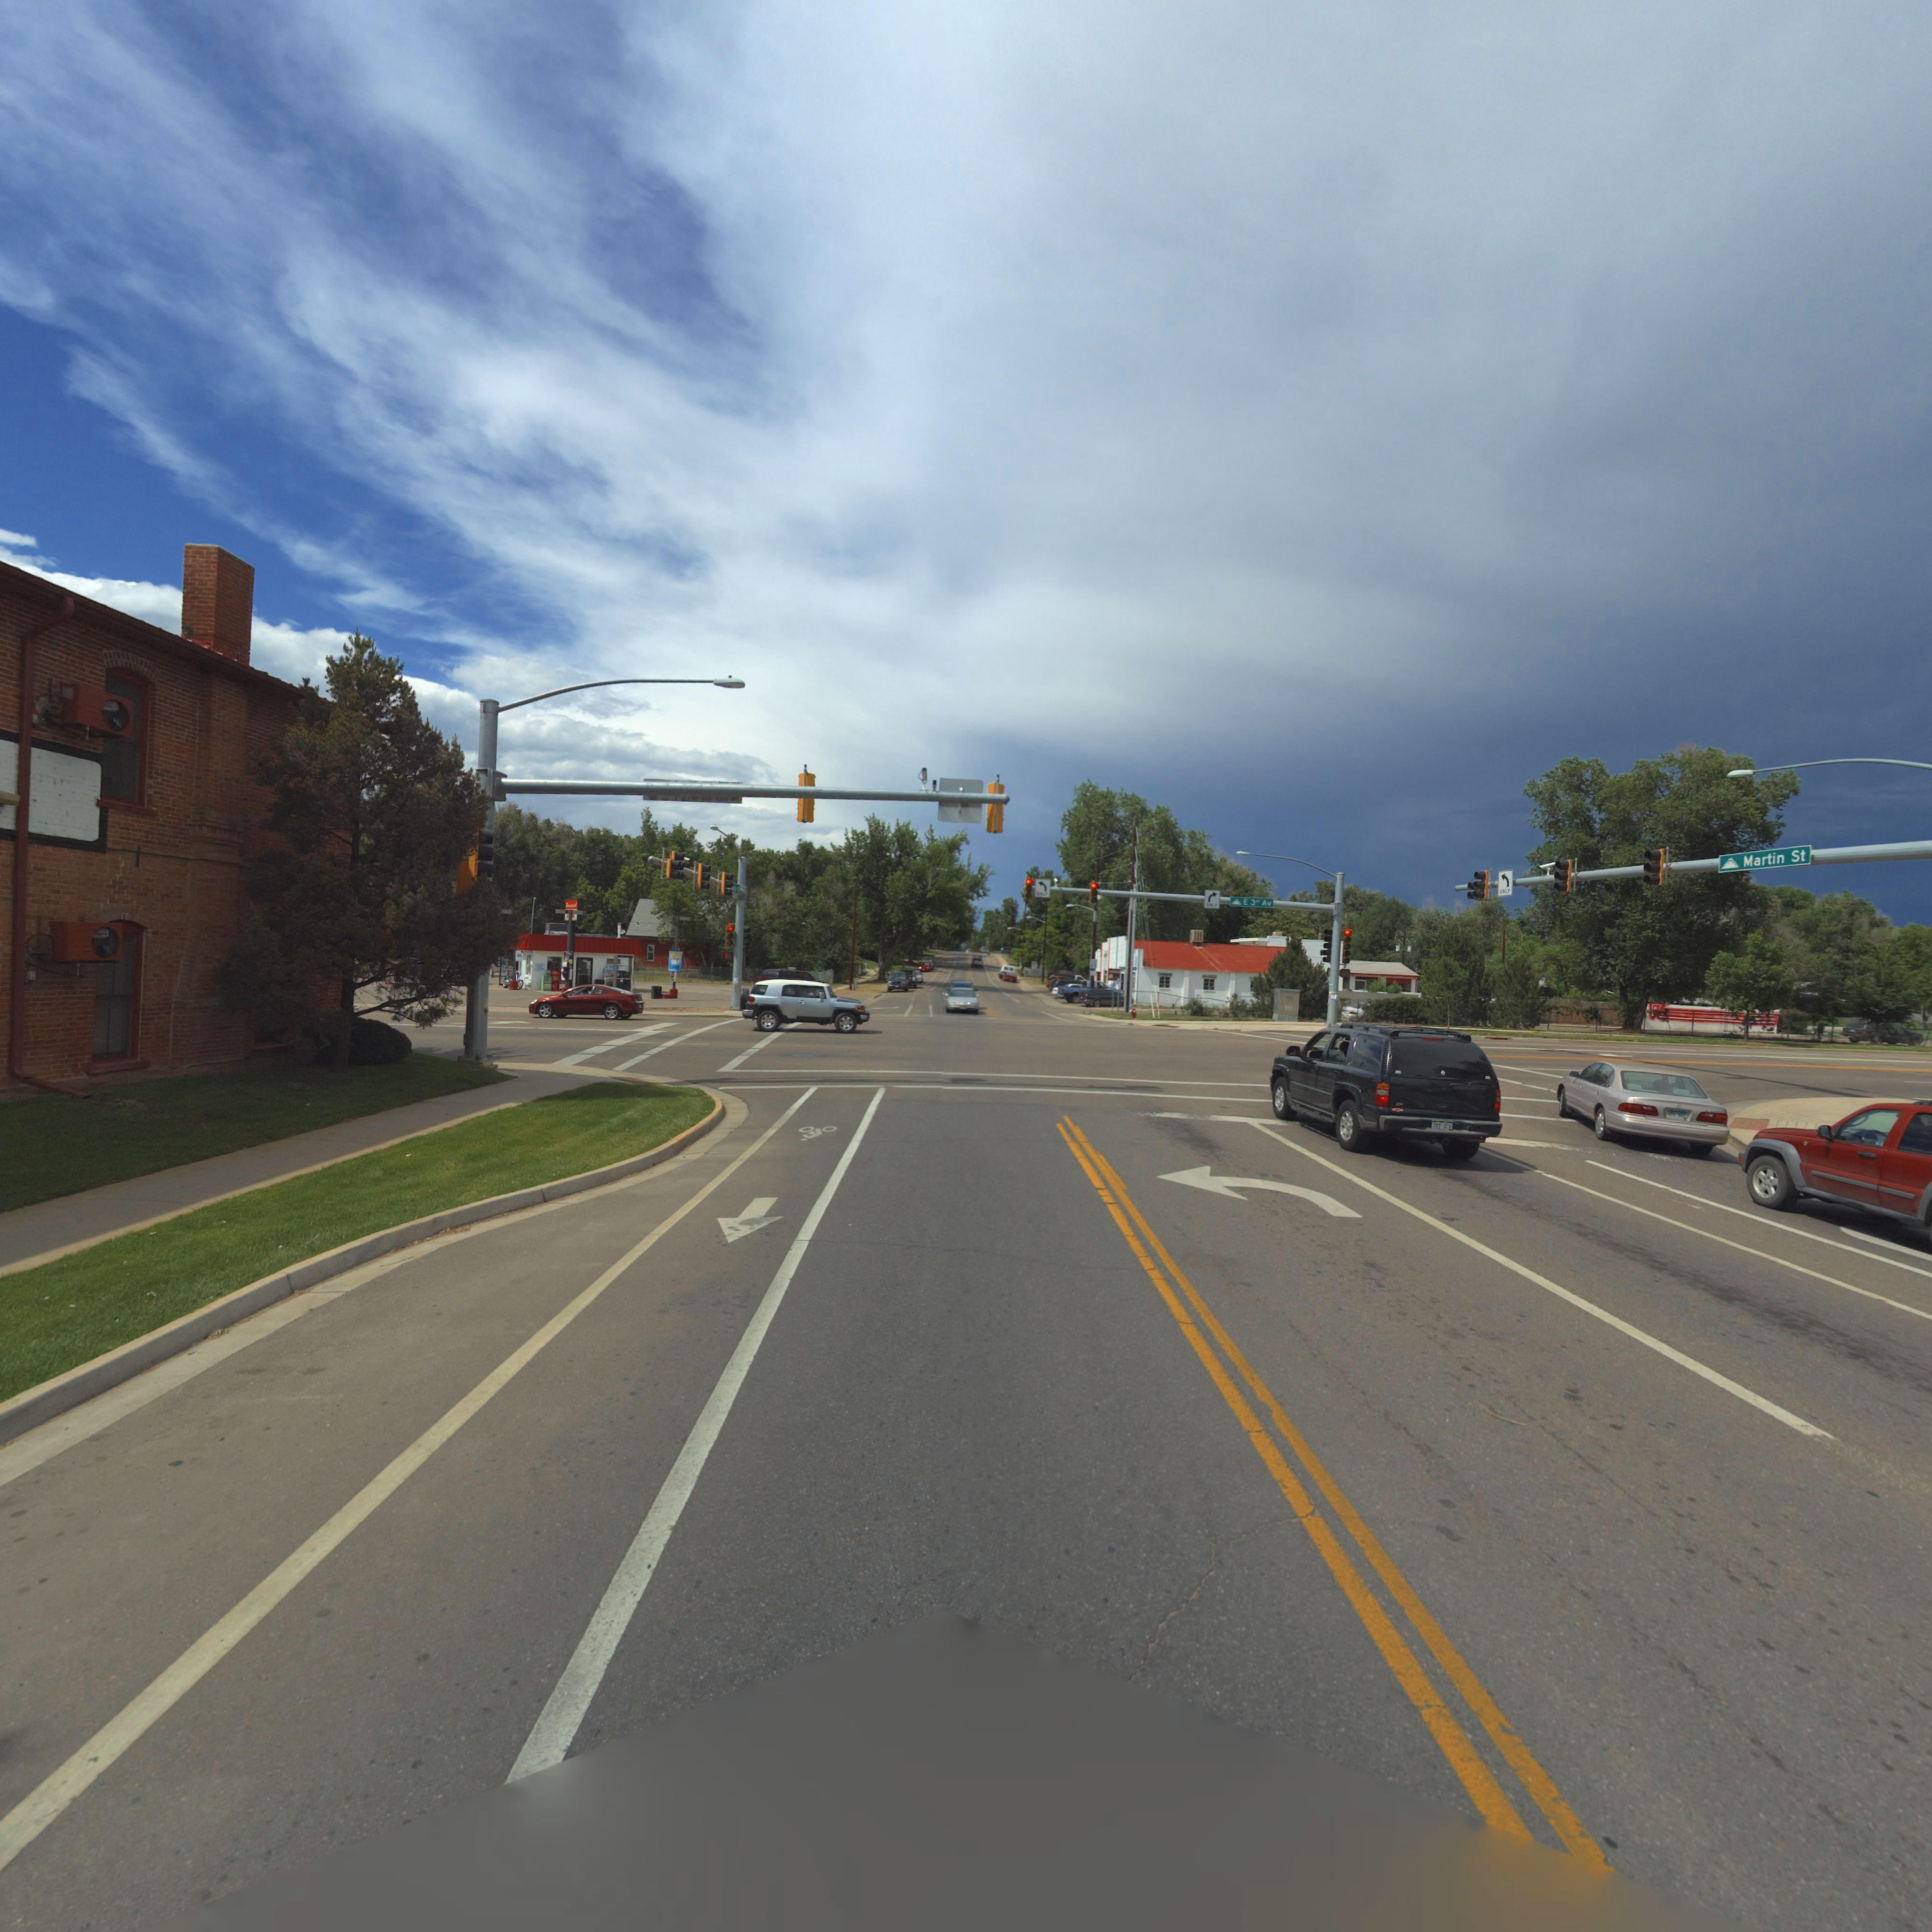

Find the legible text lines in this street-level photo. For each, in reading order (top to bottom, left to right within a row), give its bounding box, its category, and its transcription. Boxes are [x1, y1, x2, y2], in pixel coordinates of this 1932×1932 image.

[1742, 848, 1806, 868] StreetName: Martin St
[731, 885, 740, 893] StreetName: art*n S*
[1243, 898, 1272, 906] StreetName: E 3rd Av